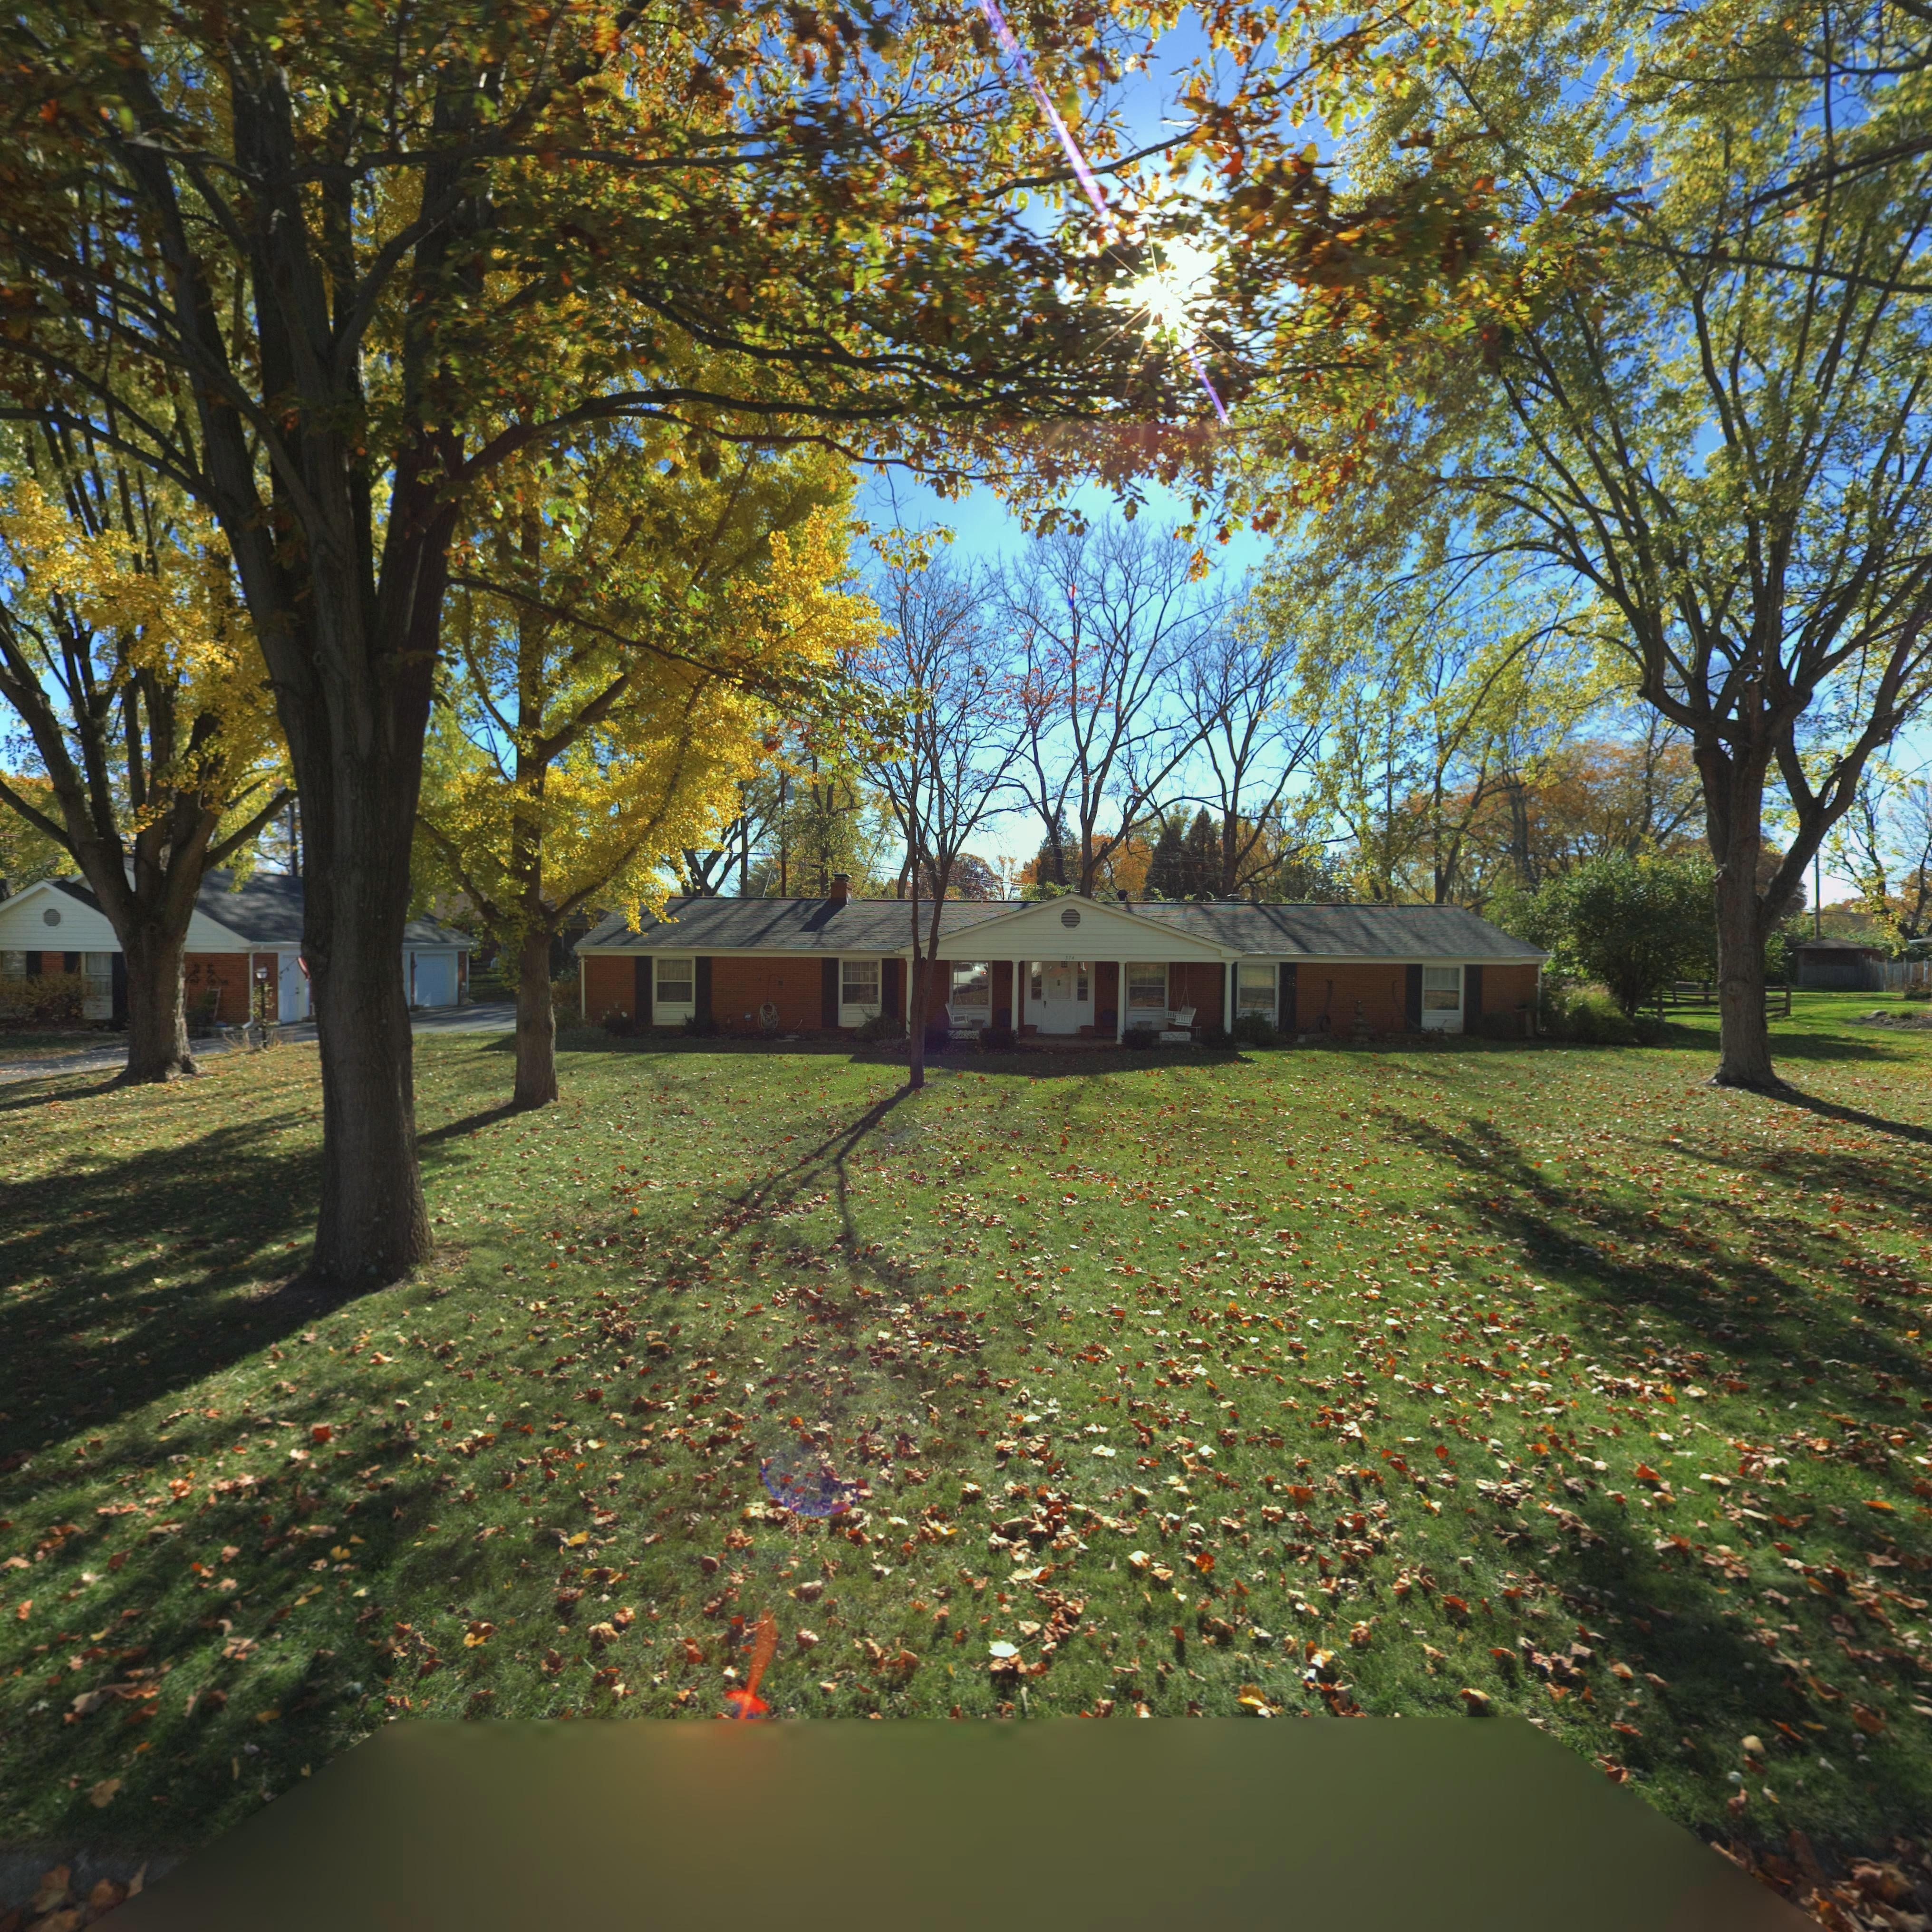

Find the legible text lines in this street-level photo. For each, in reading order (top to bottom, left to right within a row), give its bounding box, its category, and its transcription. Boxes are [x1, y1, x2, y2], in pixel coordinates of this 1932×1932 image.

[1064, 955, 1075, 960] StreetNumber: 374